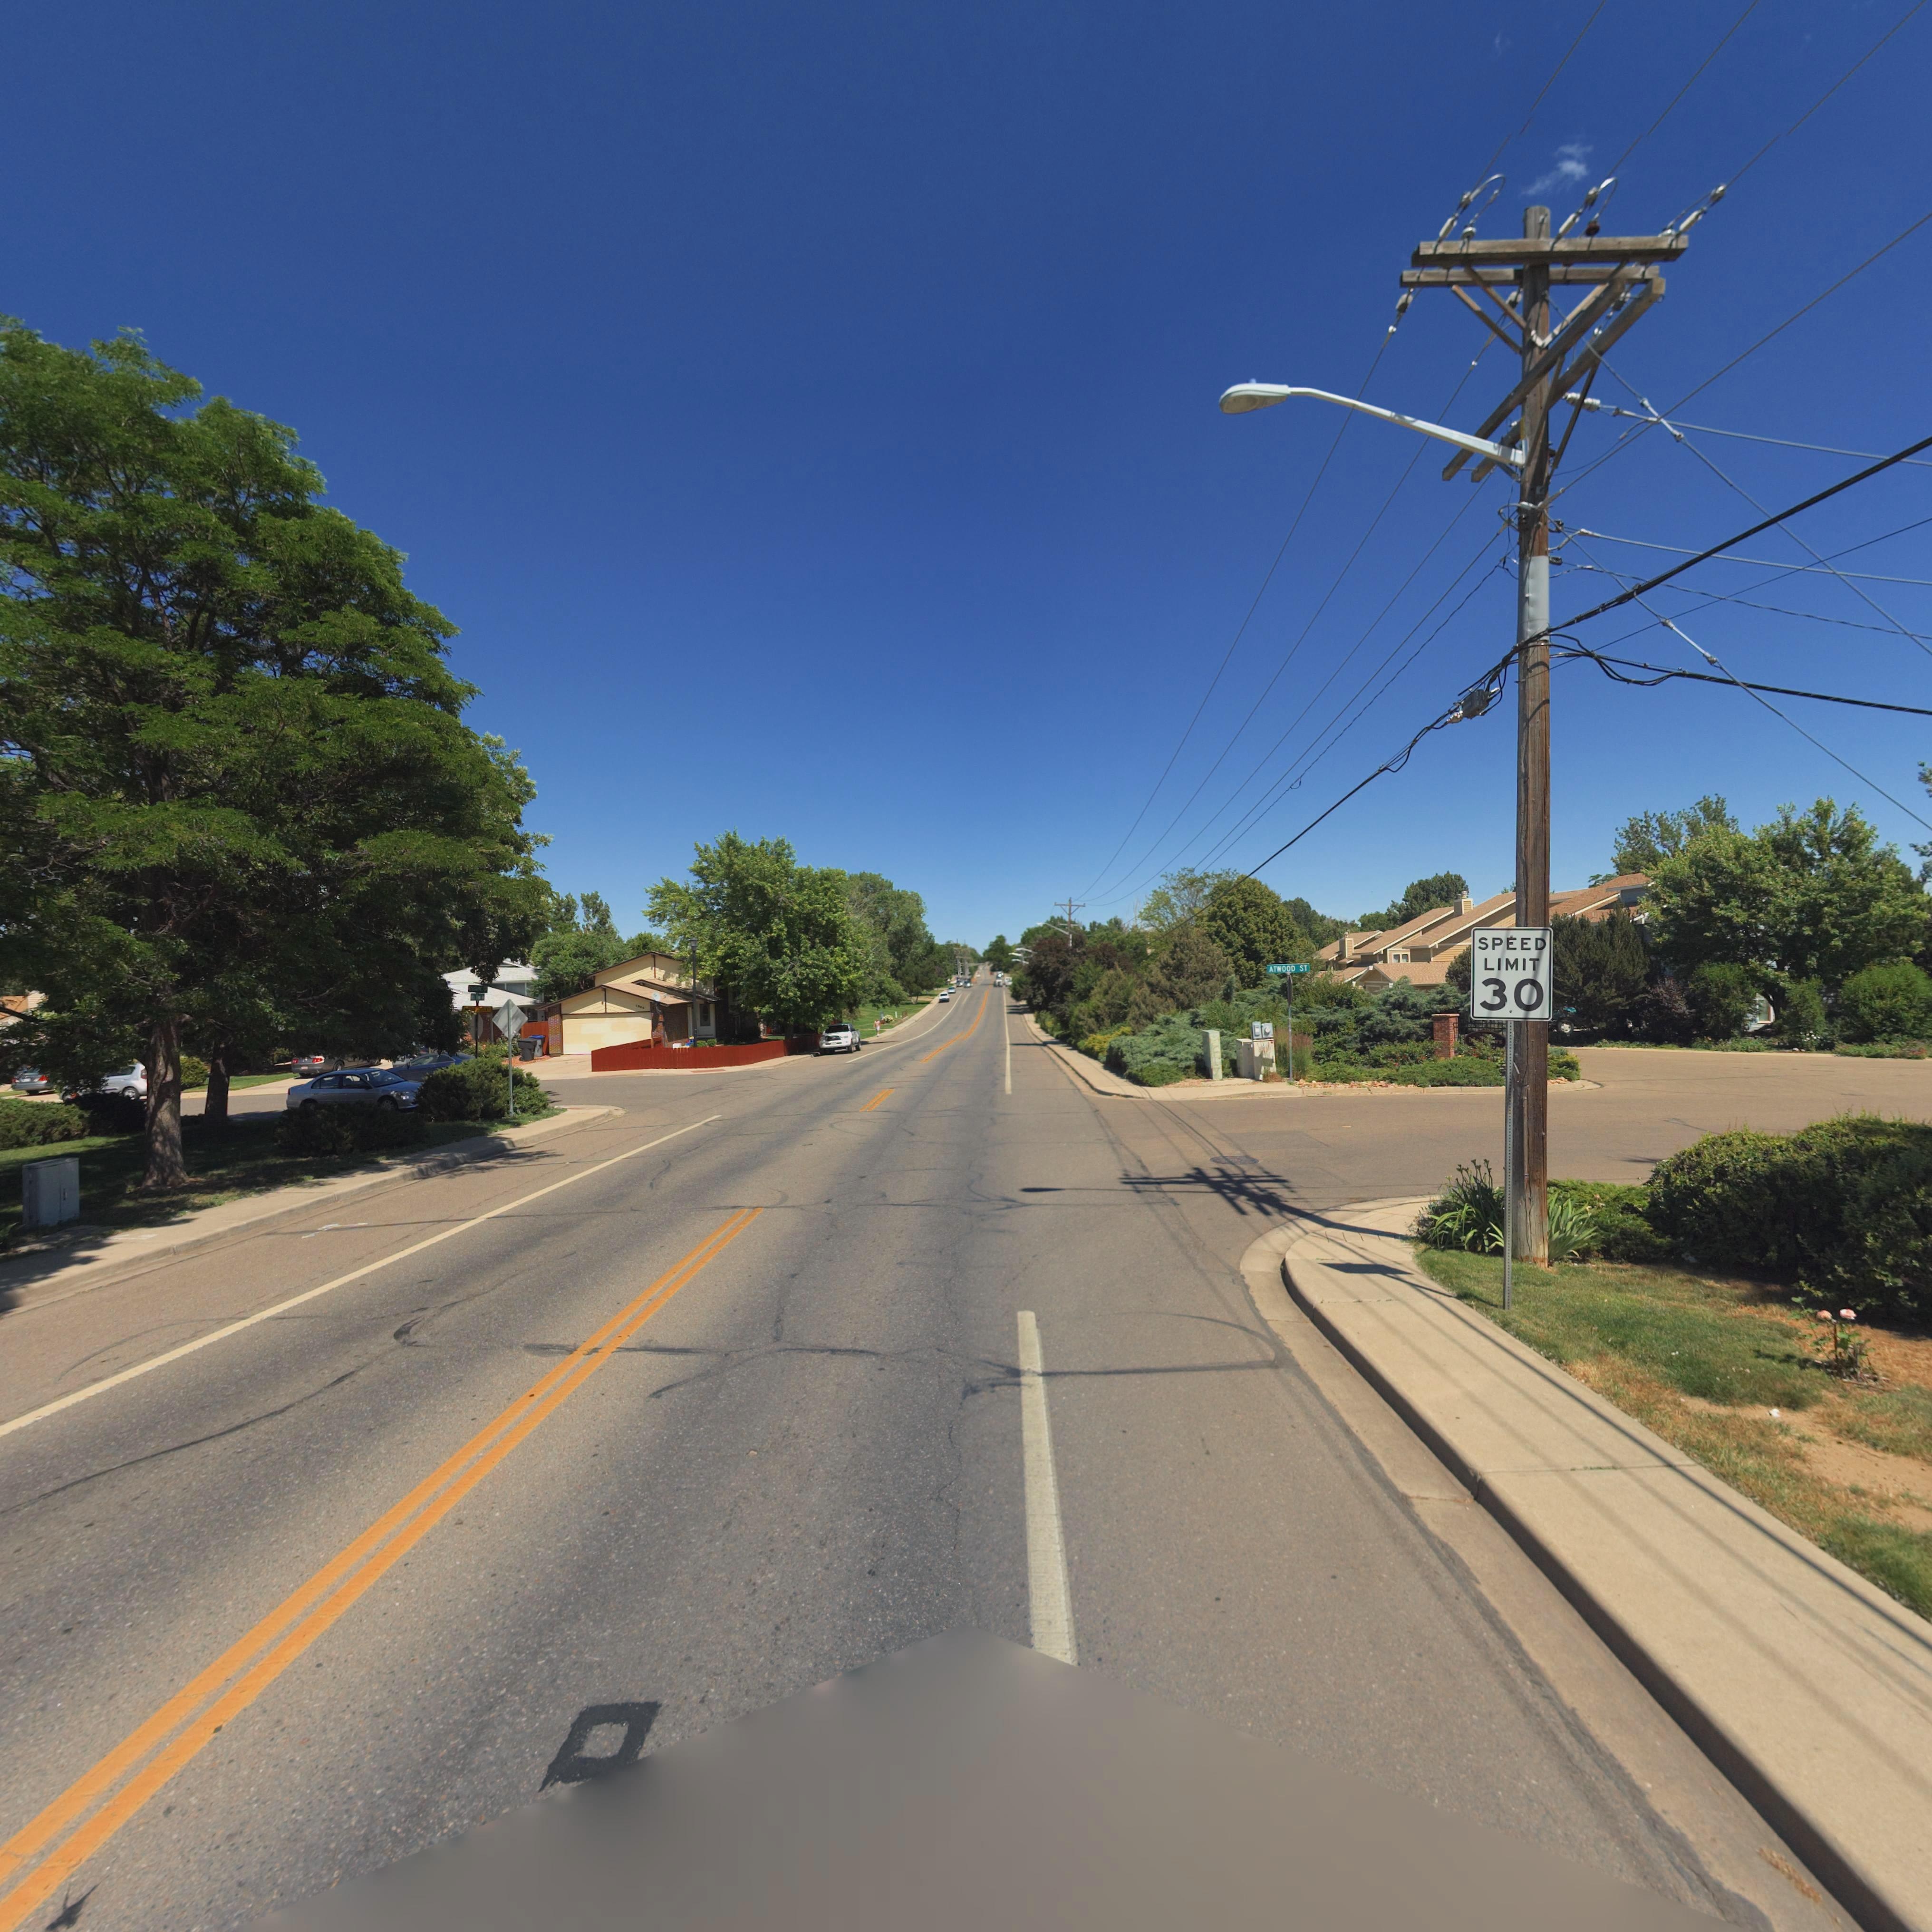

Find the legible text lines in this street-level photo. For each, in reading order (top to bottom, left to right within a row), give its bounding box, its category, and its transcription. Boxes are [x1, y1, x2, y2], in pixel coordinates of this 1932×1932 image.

[1268, 964, 1308, 973] StreetName: ATWOOD ST
[468, 985, 487, 992] StreetName: Keystone Ct
[470, 994, 484, 1000] StreetName: Mtn View A*
[636, 1004, 645, 1009] StreetNumber: 1306